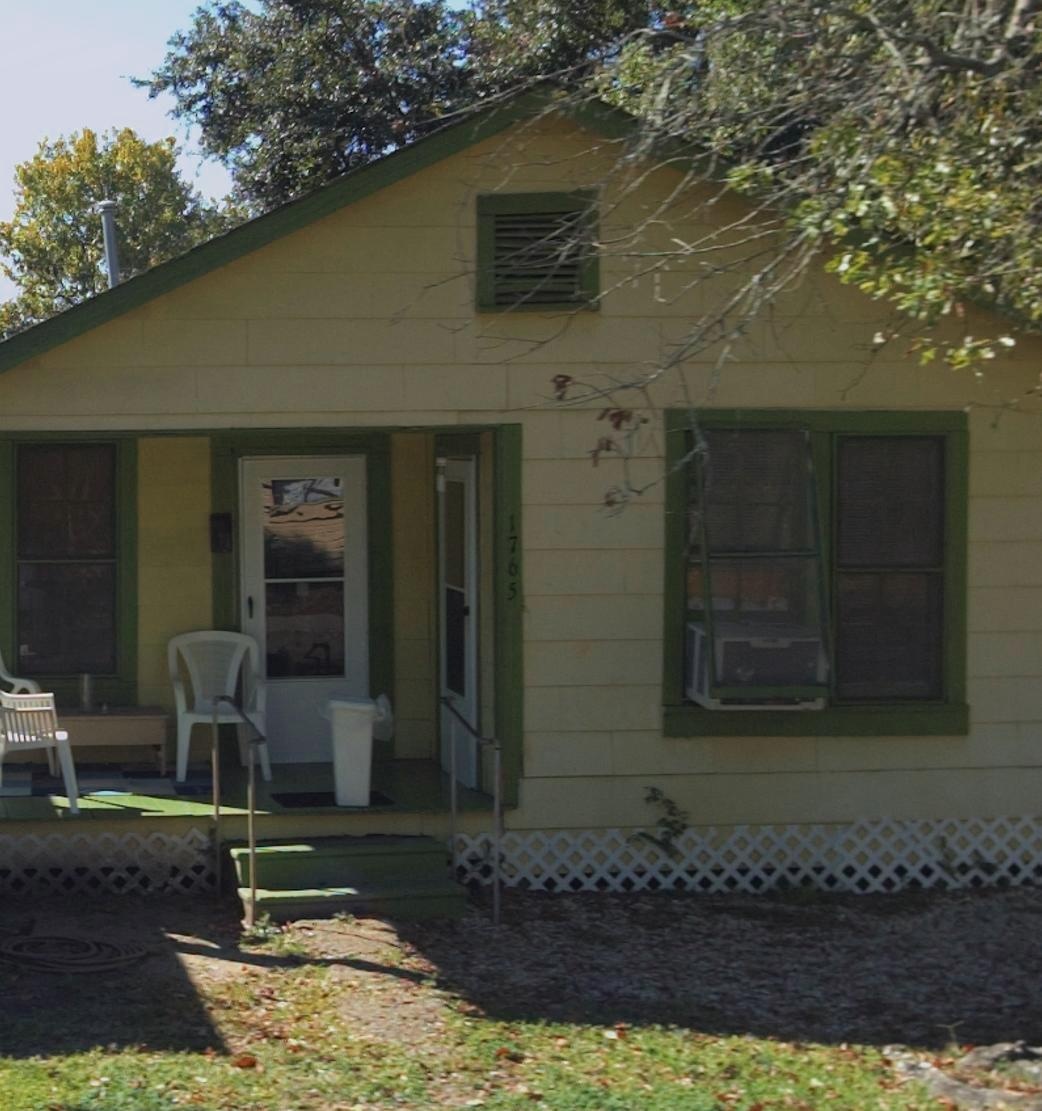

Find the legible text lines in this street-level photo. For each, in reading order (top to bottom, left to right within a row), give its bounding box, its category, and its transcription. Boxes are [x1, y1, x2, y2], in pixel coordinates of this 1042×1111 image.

[505, 512, 519, 603] StreetNumber: 1765